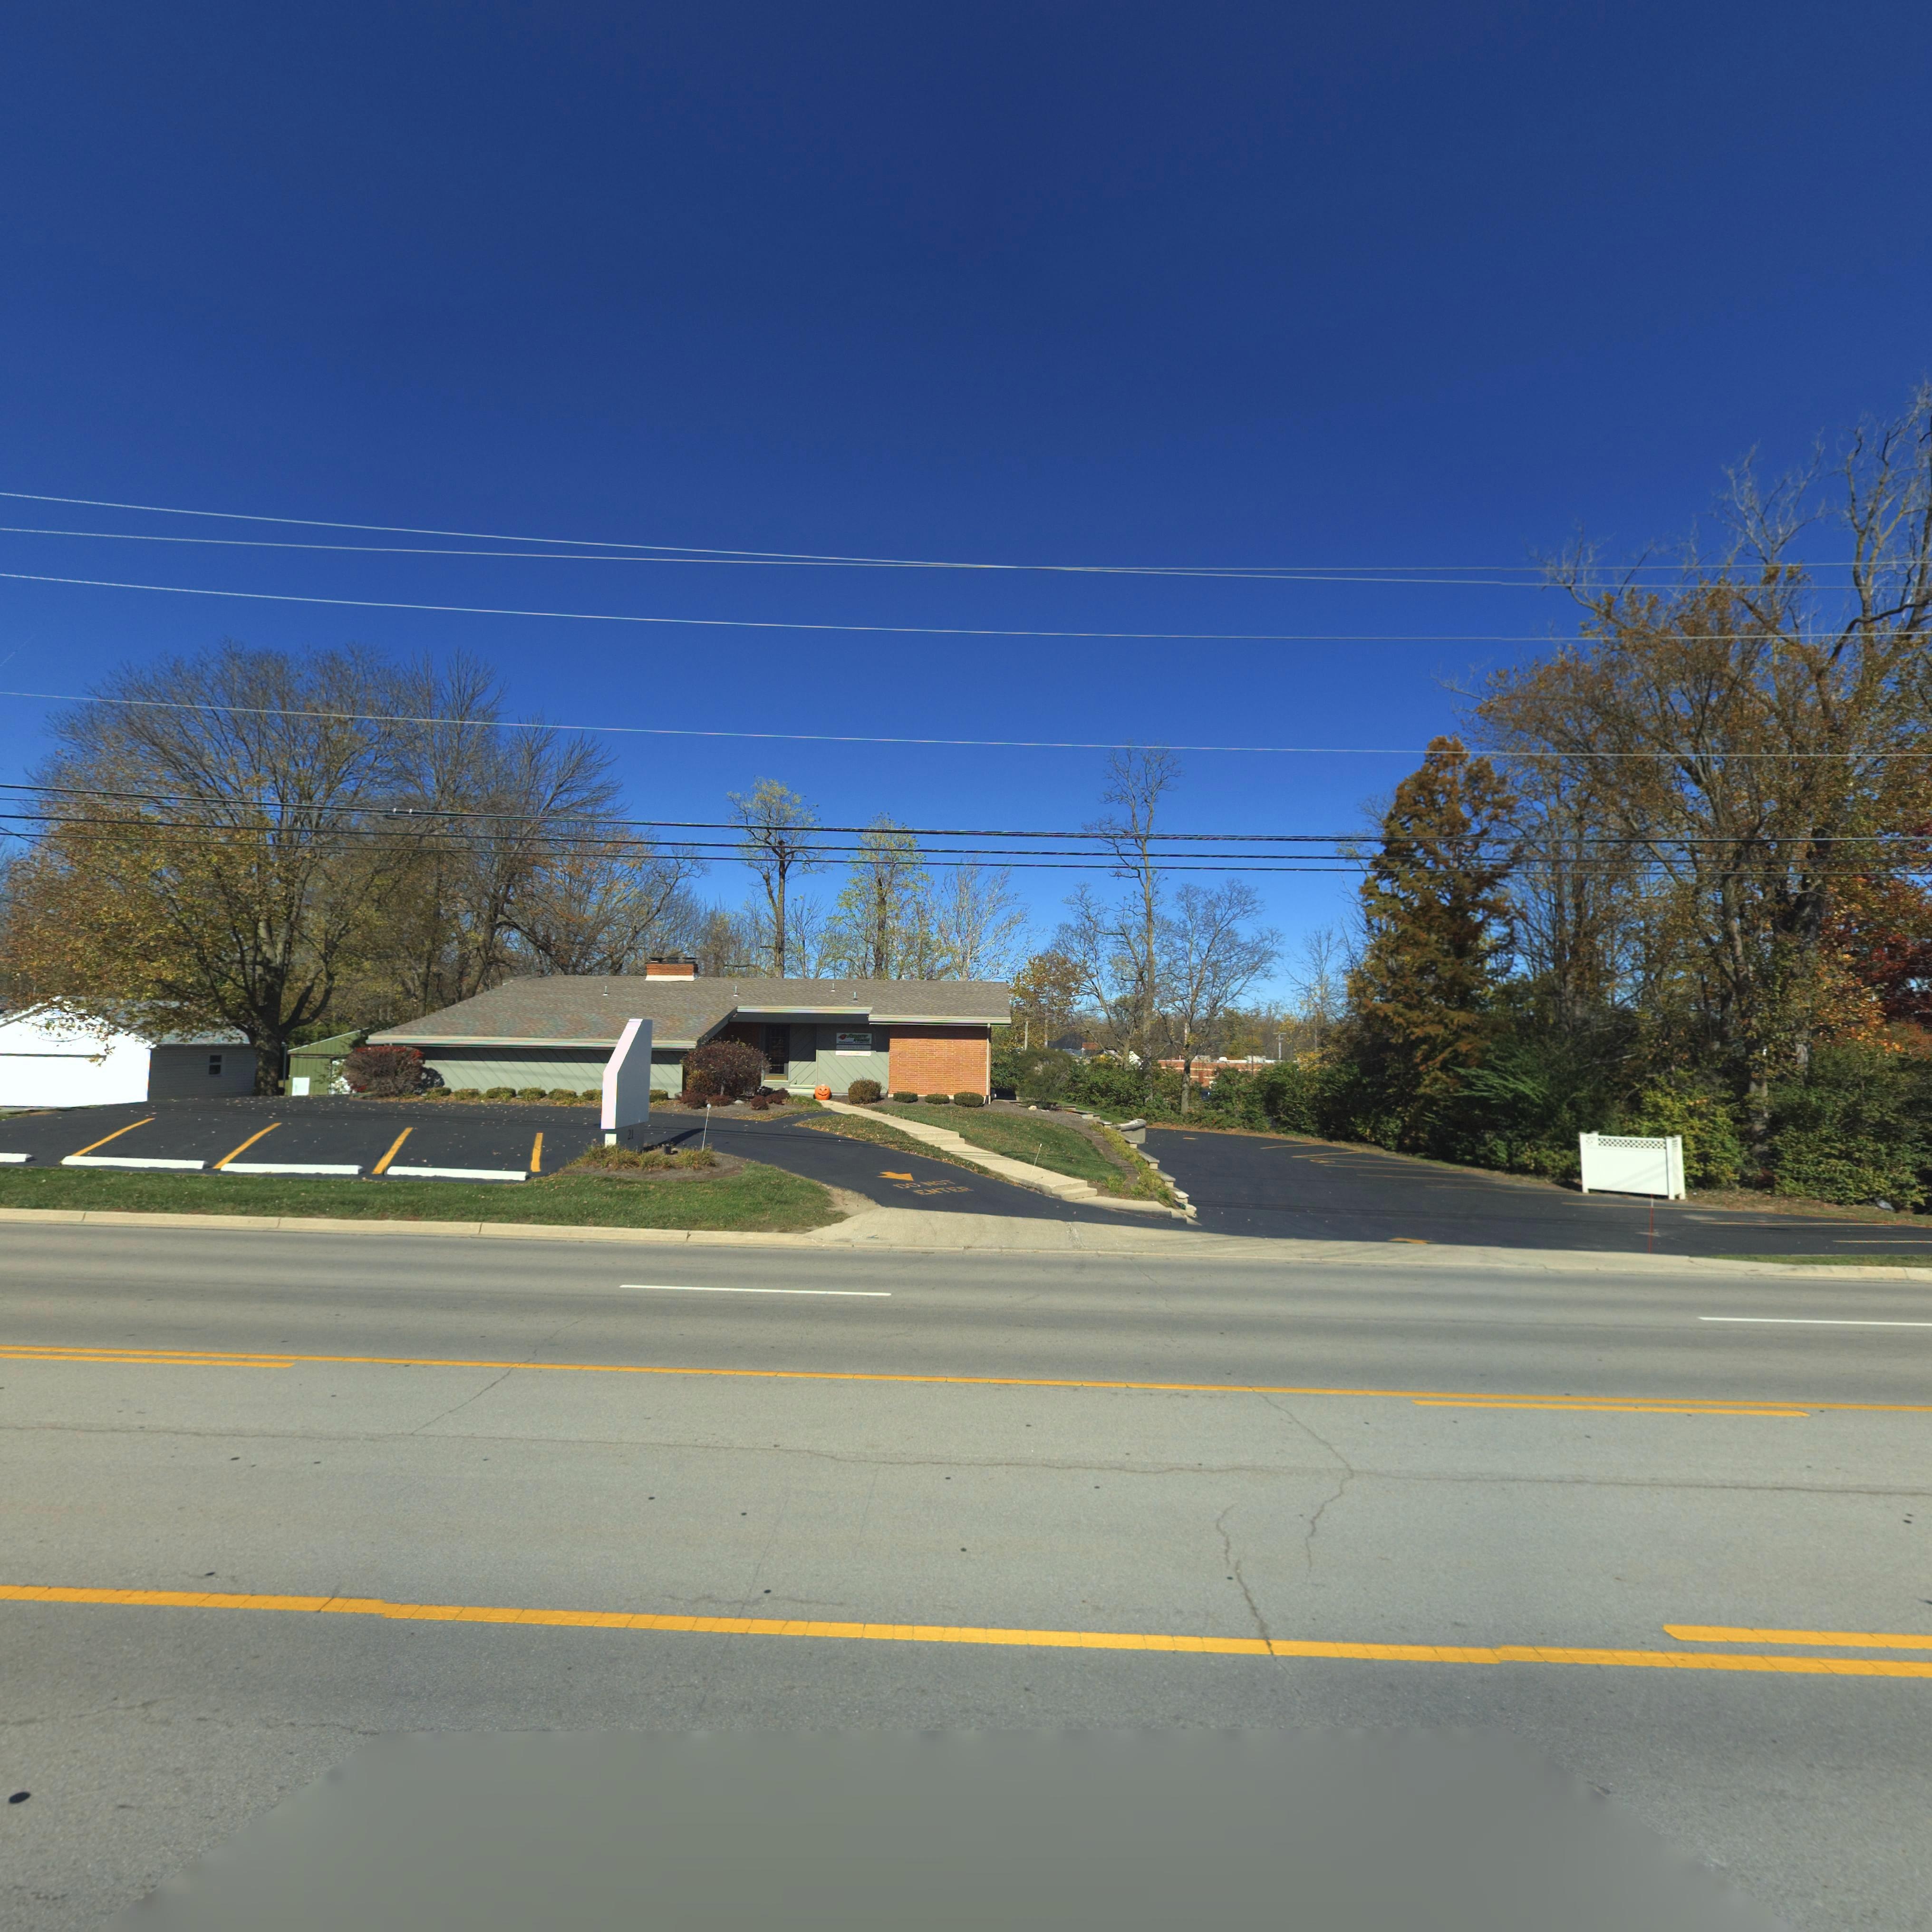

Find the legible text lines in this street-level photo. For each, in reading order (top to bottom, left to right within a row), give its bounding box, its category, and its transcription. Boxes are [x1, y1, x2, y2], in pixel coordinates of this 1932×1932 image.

[627, 1128, 634, 1141] StreetNumber: 21